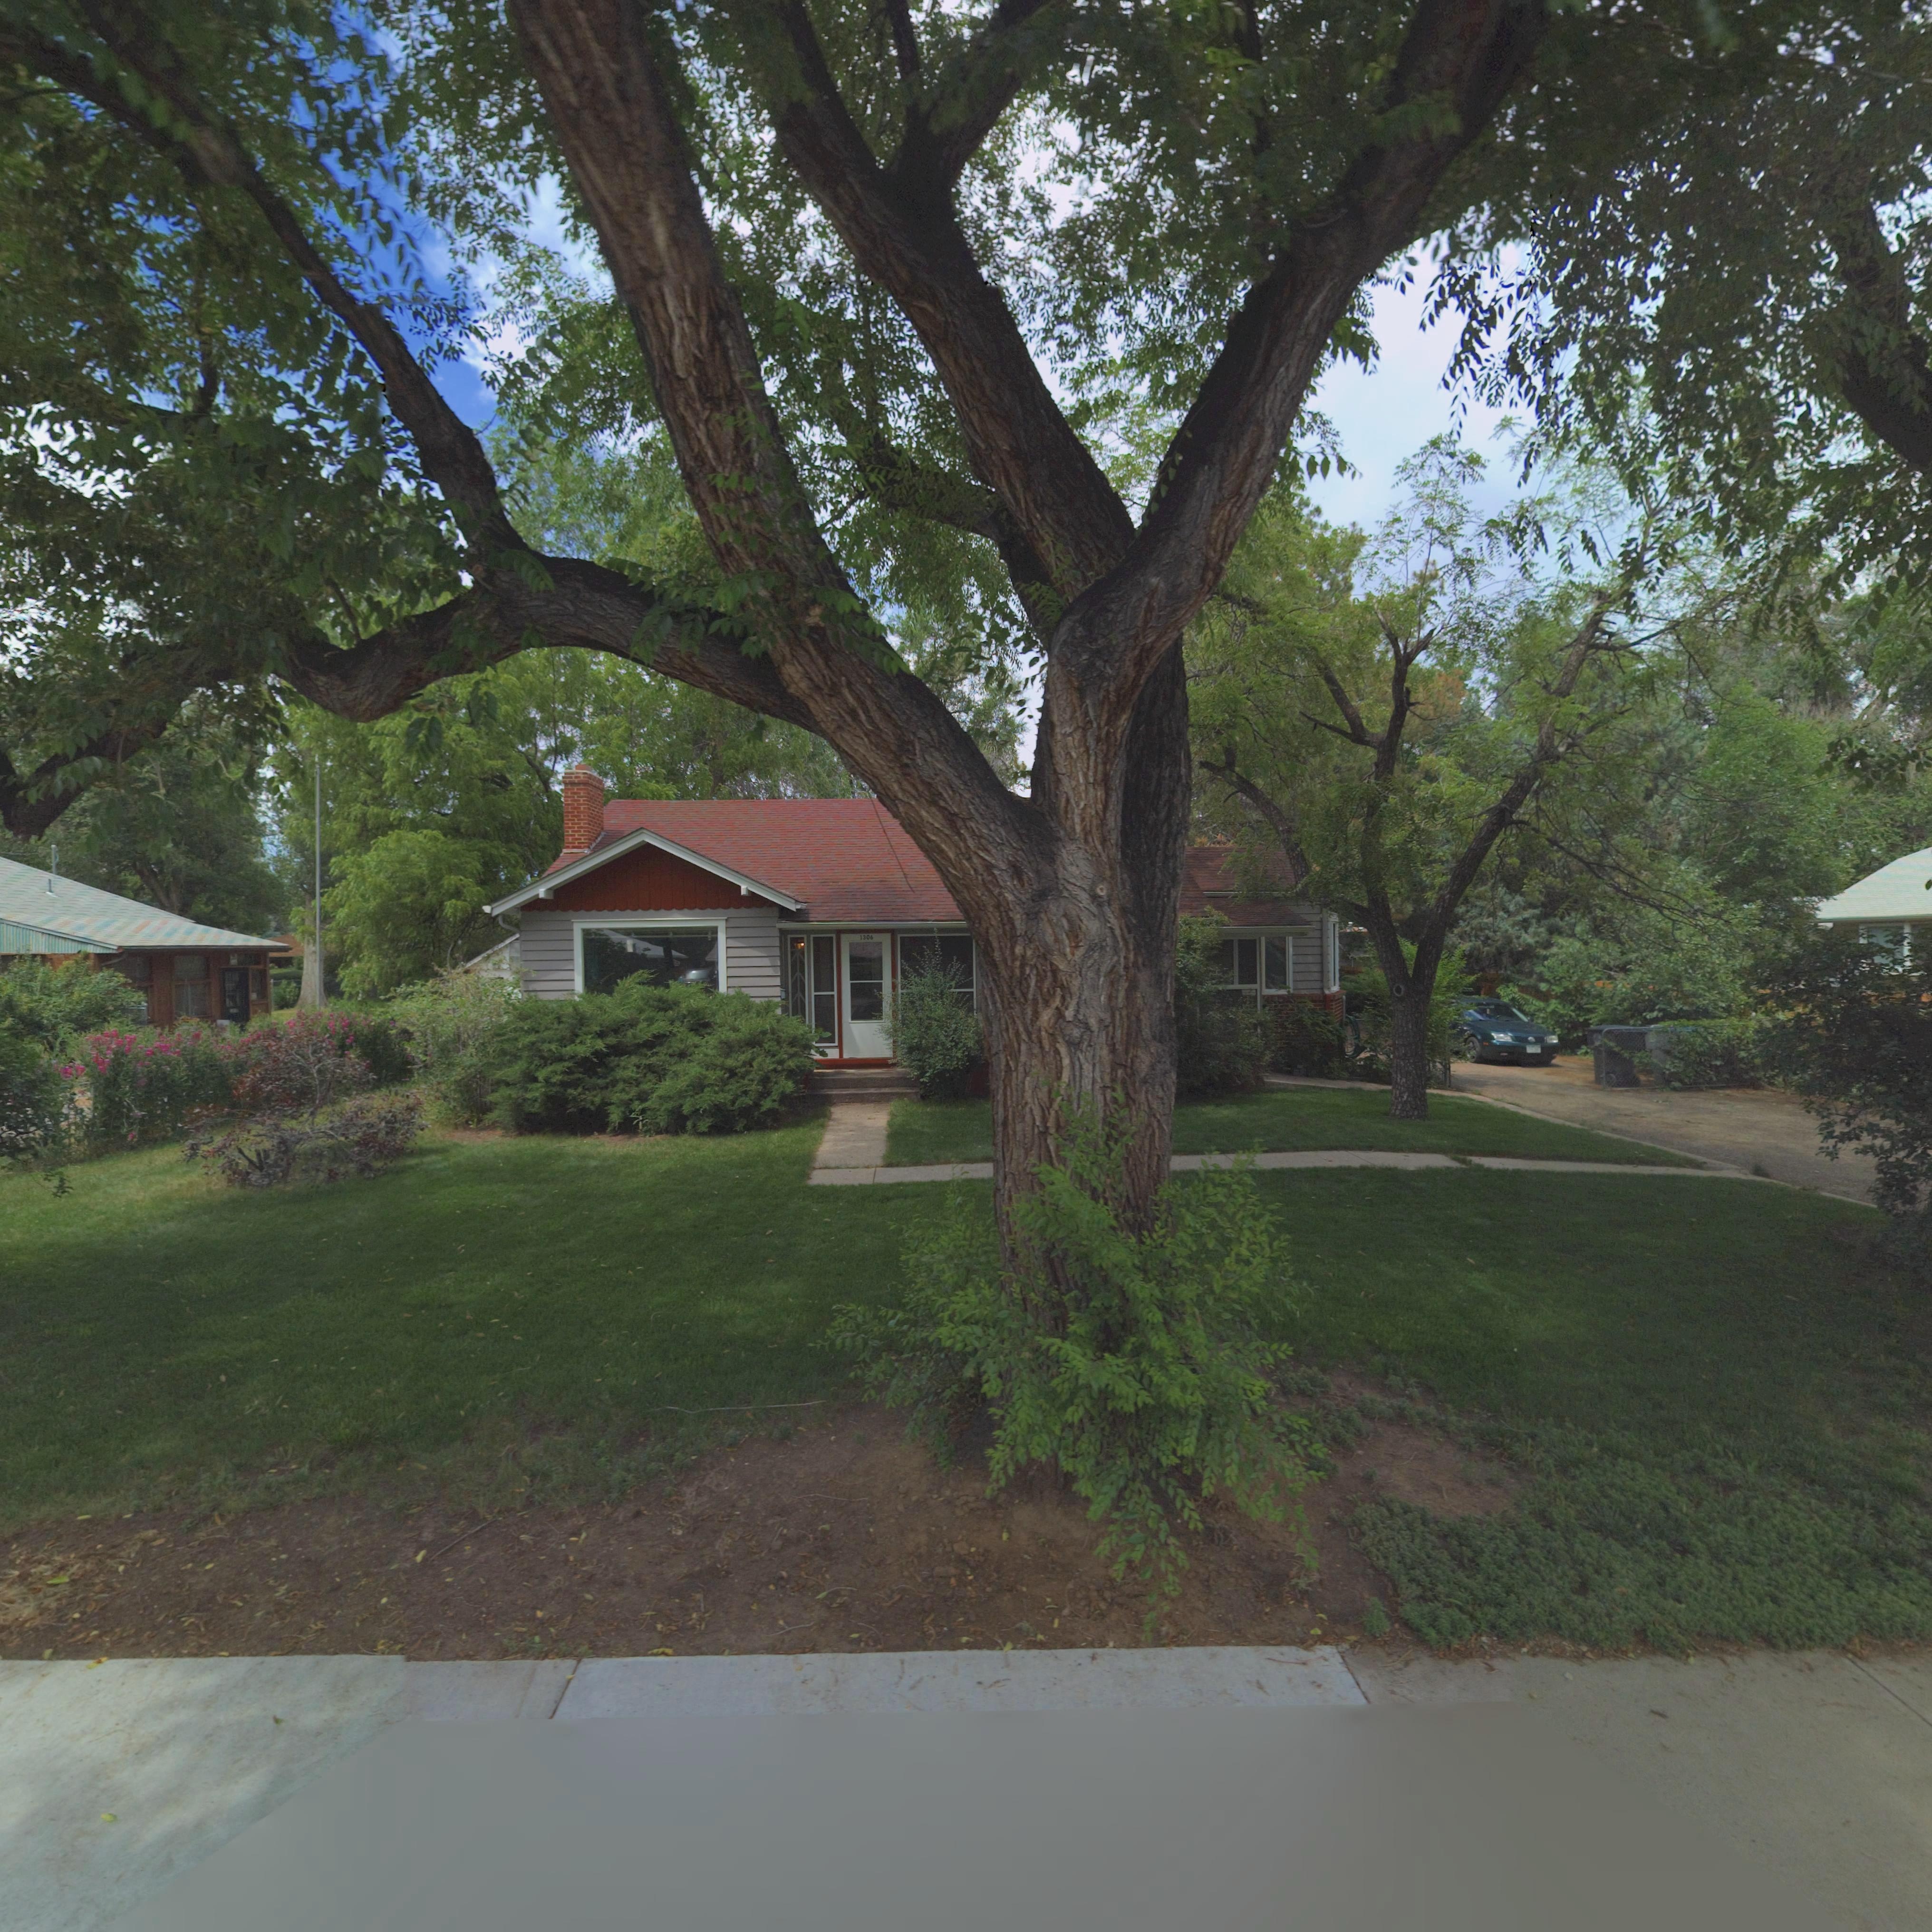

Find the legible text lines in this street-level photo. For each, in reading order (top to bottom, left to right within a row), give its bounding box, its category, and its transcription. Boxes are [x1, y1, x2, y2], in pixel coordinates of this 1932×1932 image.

[860, 935, 873, 940] StreetNumber: 1306